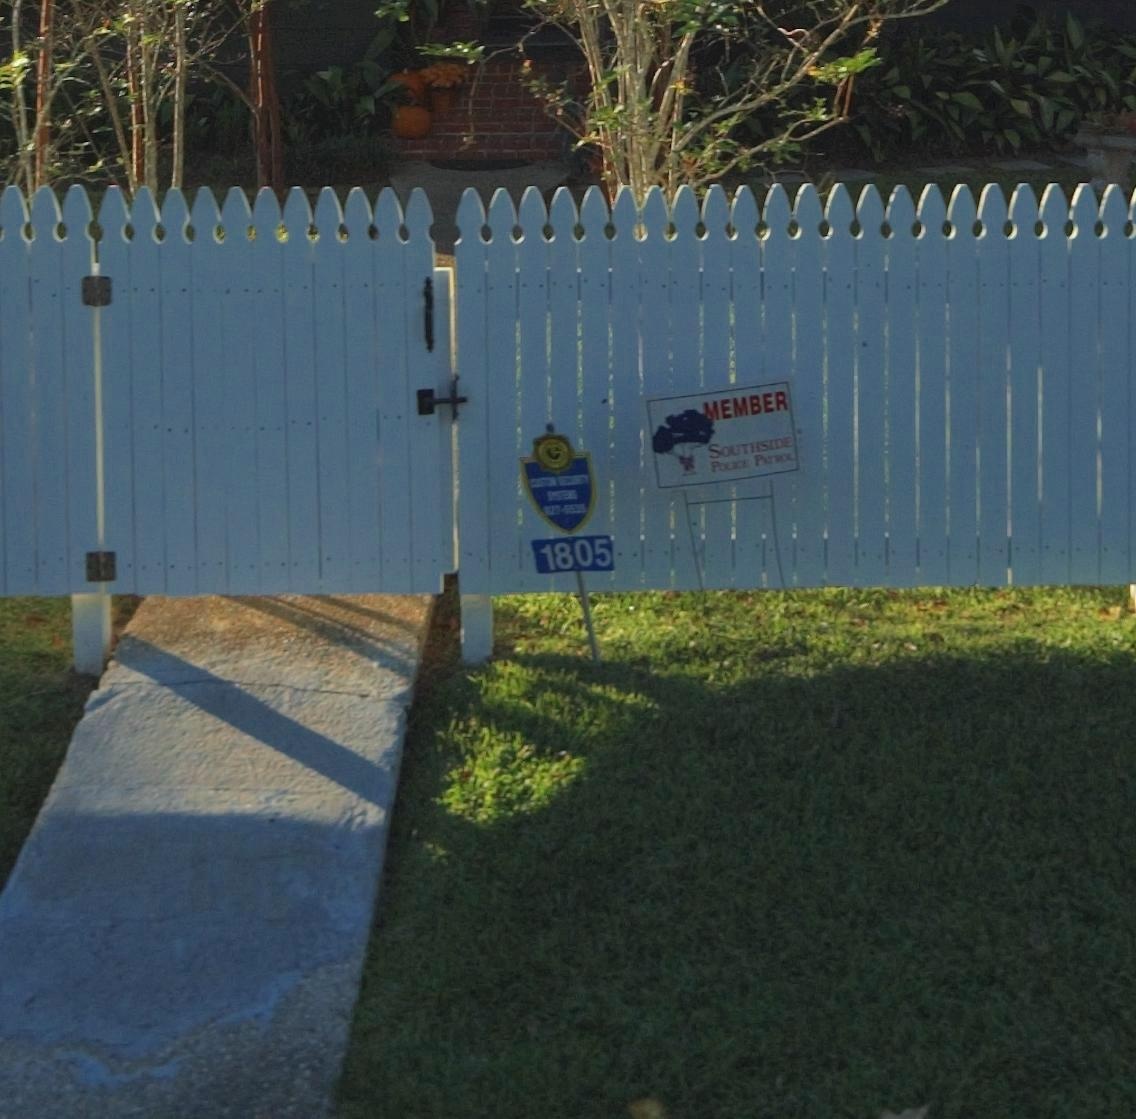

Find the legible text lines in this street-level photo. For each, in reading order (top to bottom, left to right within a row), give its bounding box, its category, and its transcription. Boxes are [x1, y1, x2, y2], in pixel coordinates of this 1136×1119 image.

[698, 386, 794, 427] None: MEMBER
[704, 431, 798, 462] None: SOUTHSIDE
[534, 533, 616, 575] StreetNumber: 1805